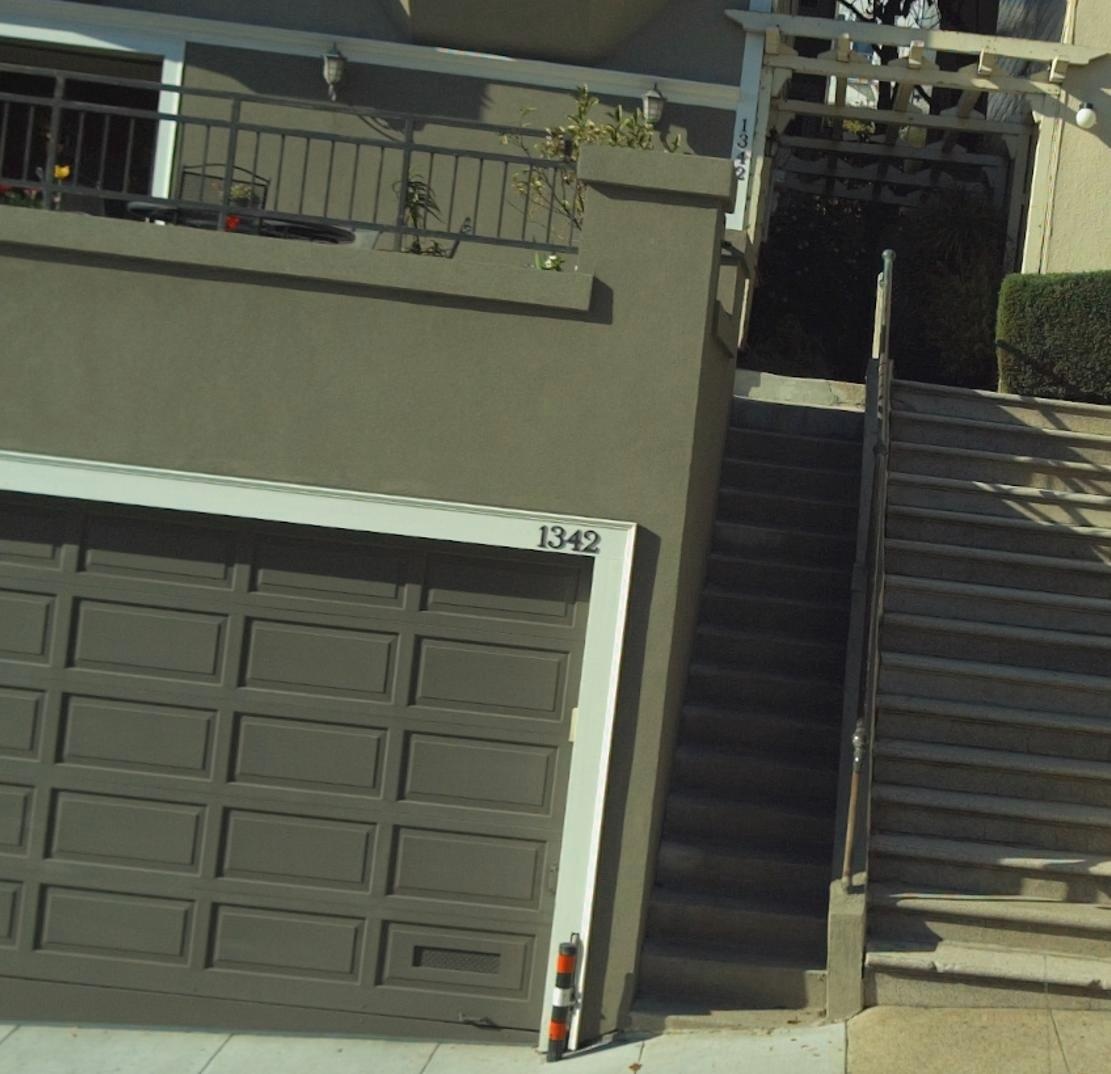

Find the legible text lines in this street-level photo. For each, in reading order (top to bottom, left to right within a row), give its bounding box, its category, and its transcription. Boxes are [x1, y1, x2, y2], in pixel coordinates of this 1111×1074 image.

[732, 116, 752, 181] StreetNumber: 1342
[534, 521, 602, 557] StreetNumber: 1342